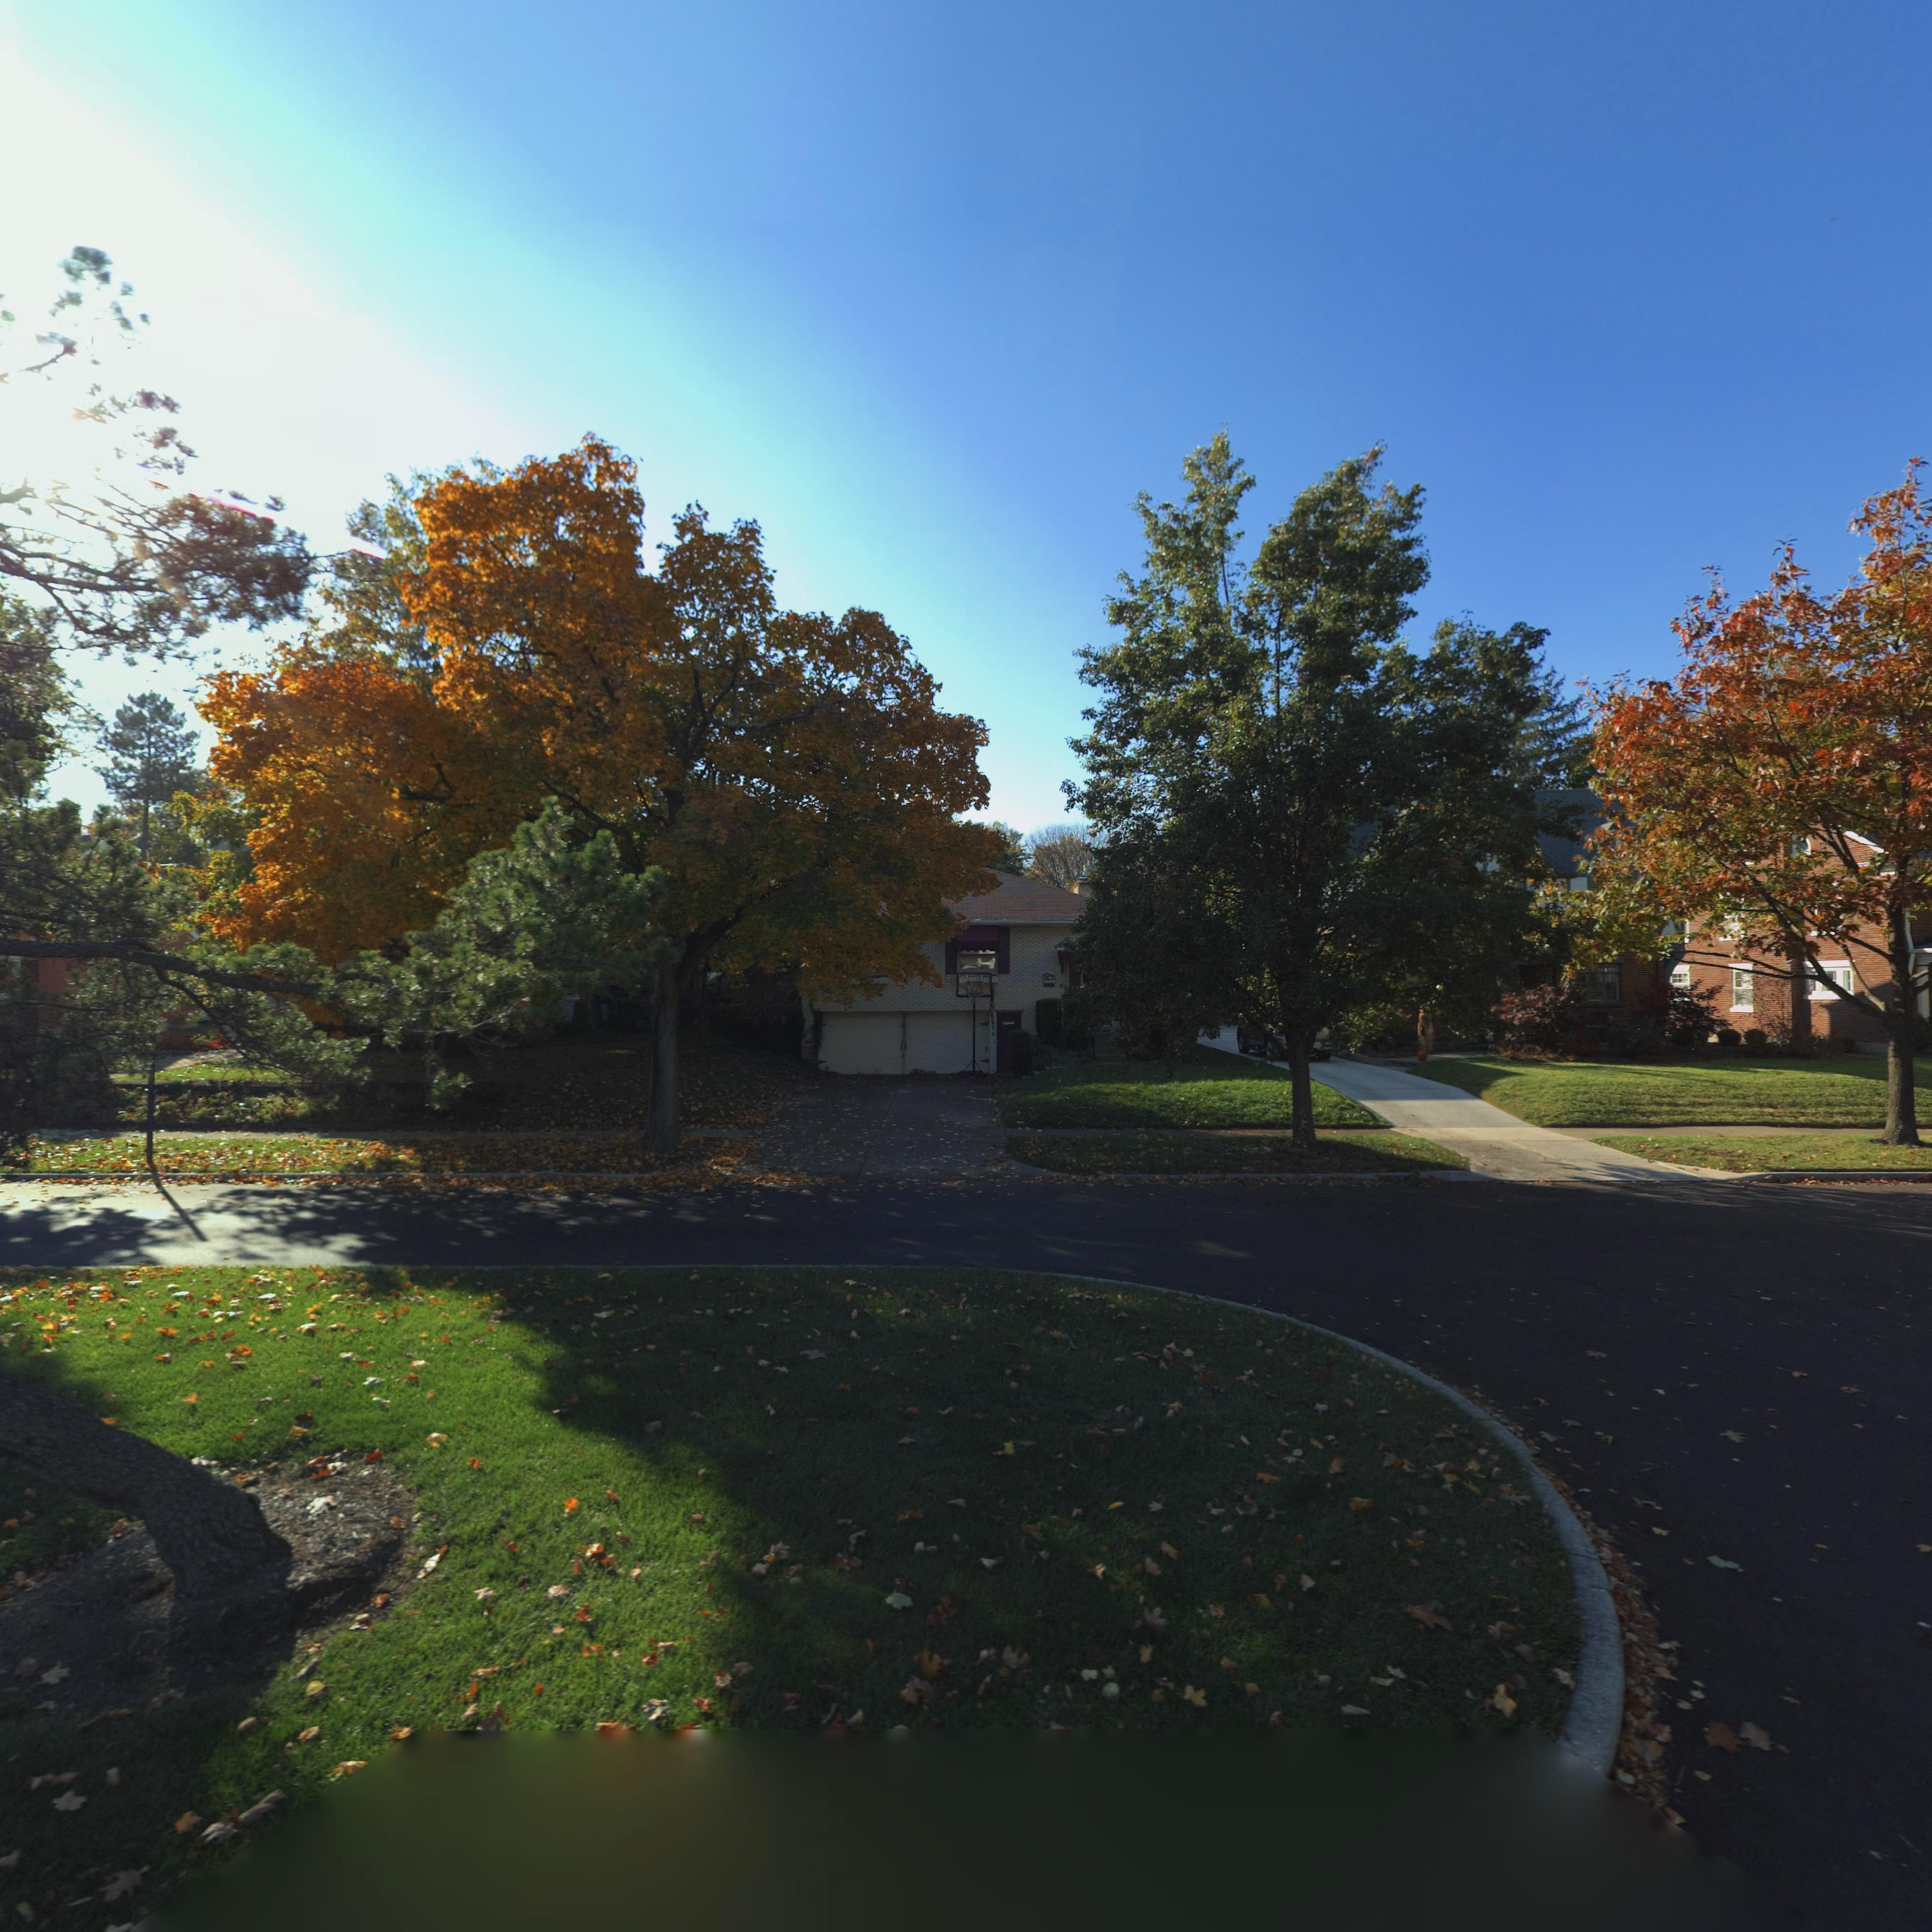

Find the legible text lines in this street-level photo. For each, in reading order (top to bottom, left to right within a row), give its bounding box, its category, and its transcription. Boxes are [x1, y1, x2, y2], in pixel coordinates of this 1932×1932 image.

[990, 1025, 995, 1037] StreetNumber: 39